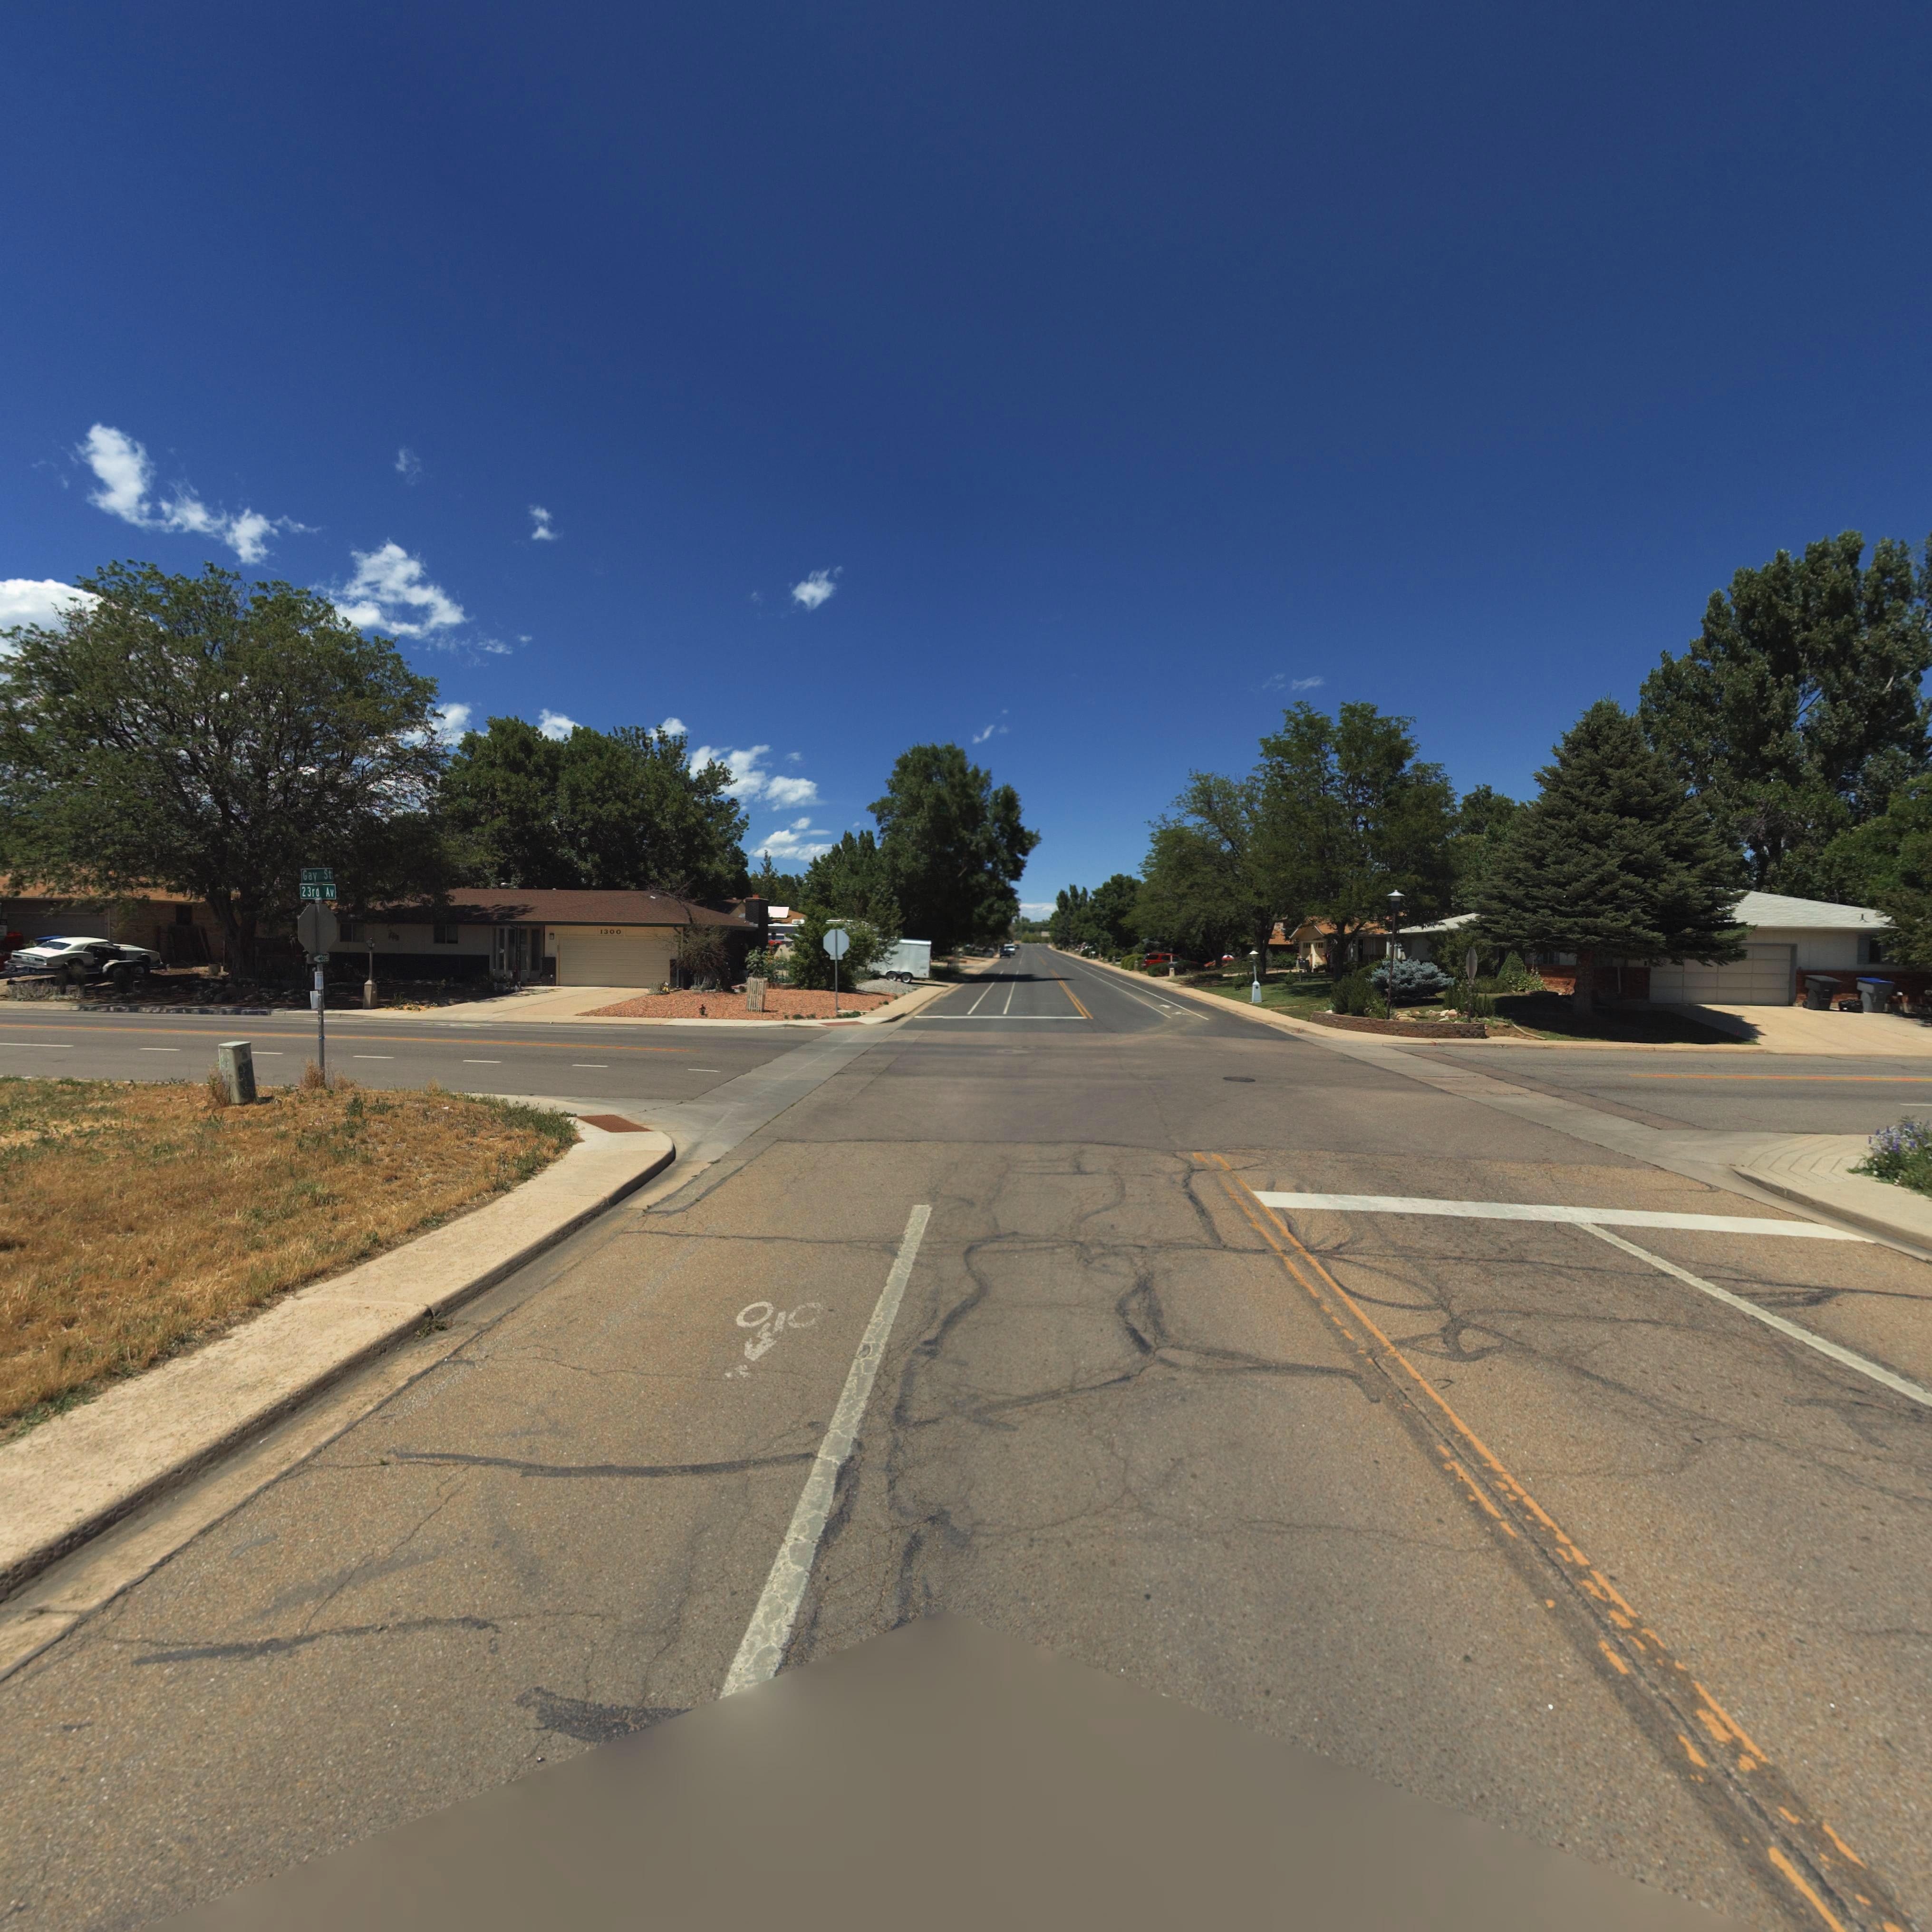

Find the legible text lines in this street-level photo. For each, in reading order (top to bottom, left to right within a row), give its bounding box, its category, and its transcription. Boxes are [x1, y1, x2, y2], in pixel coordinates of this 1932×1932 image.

[302, 869, 331, 883] StreetName: Gay St
[301, 886, 334, 897] StreetName: 23rd Av
[600, 929, 621, 934] StreetNumber: 1300
[320, 955, 328, 962] StreetNumberRange: 328